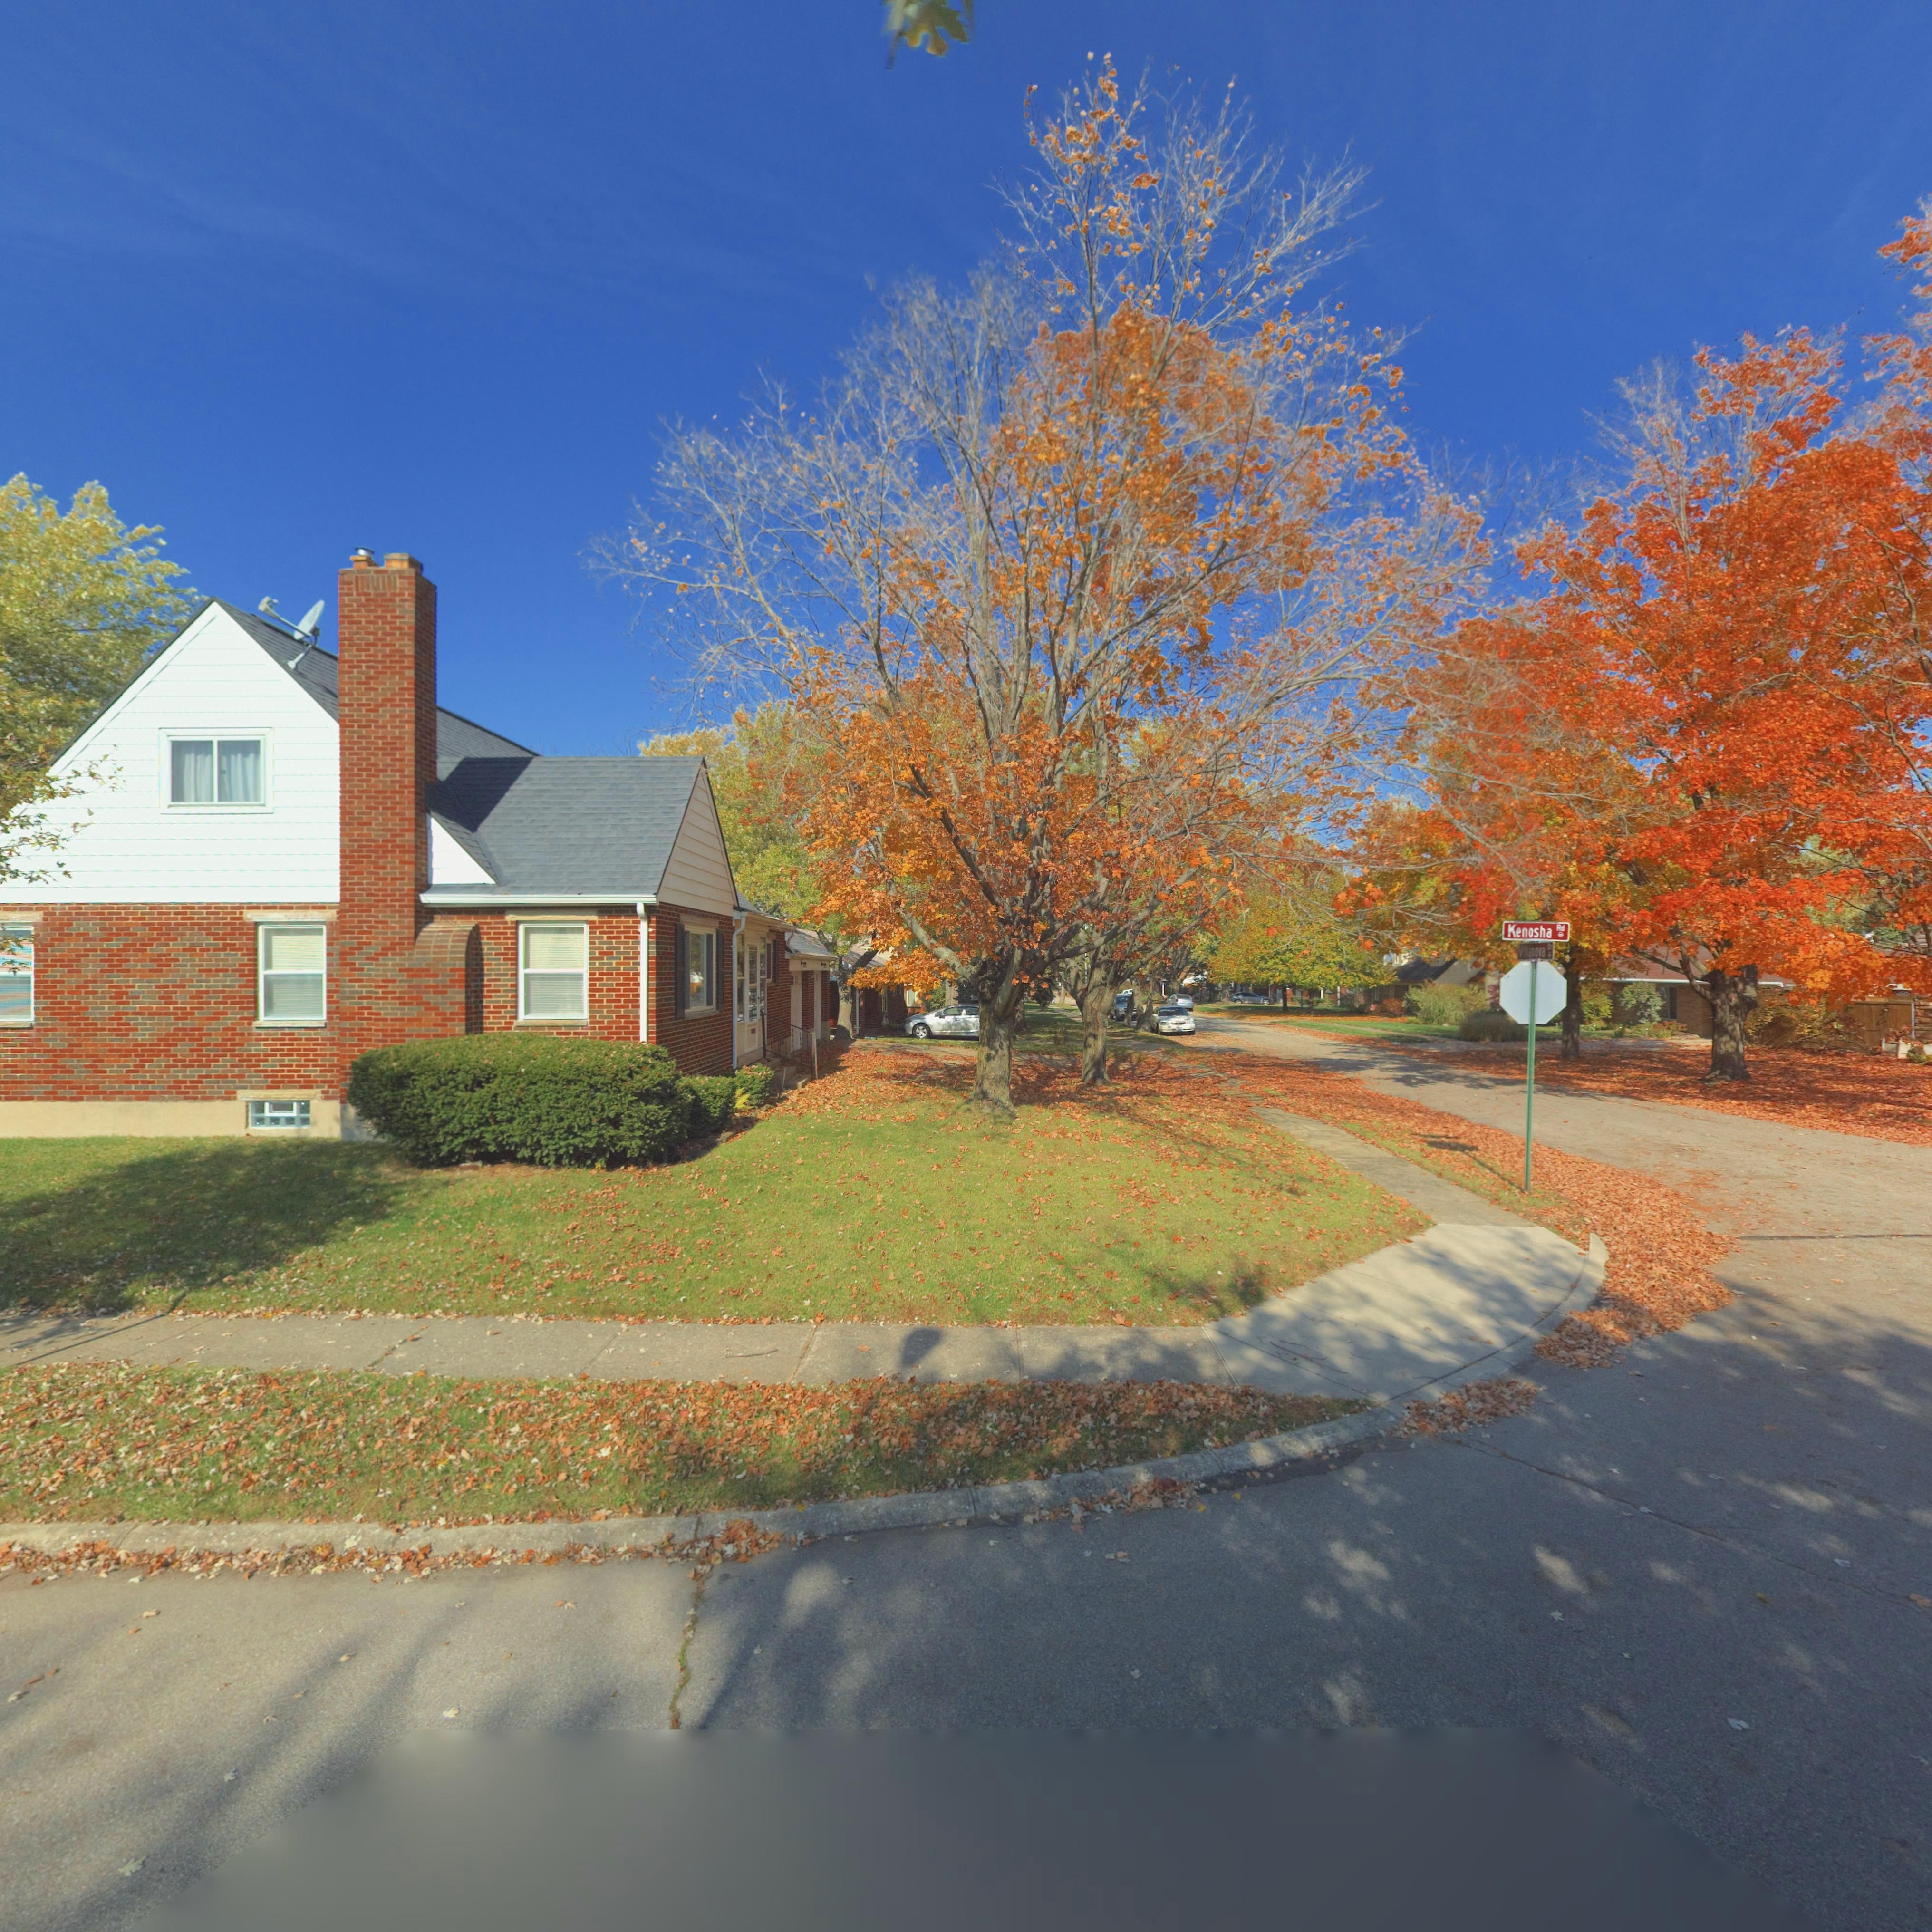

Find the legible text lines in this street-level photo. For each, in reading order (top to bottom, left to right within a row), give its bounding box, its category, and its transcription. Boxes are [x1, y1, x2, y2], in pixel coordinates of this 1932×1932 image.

[1506, 921, 1566, 940] StreetName: Kenosha Rd
[1527, 942, 1554, 959] StreetName: anova Dr